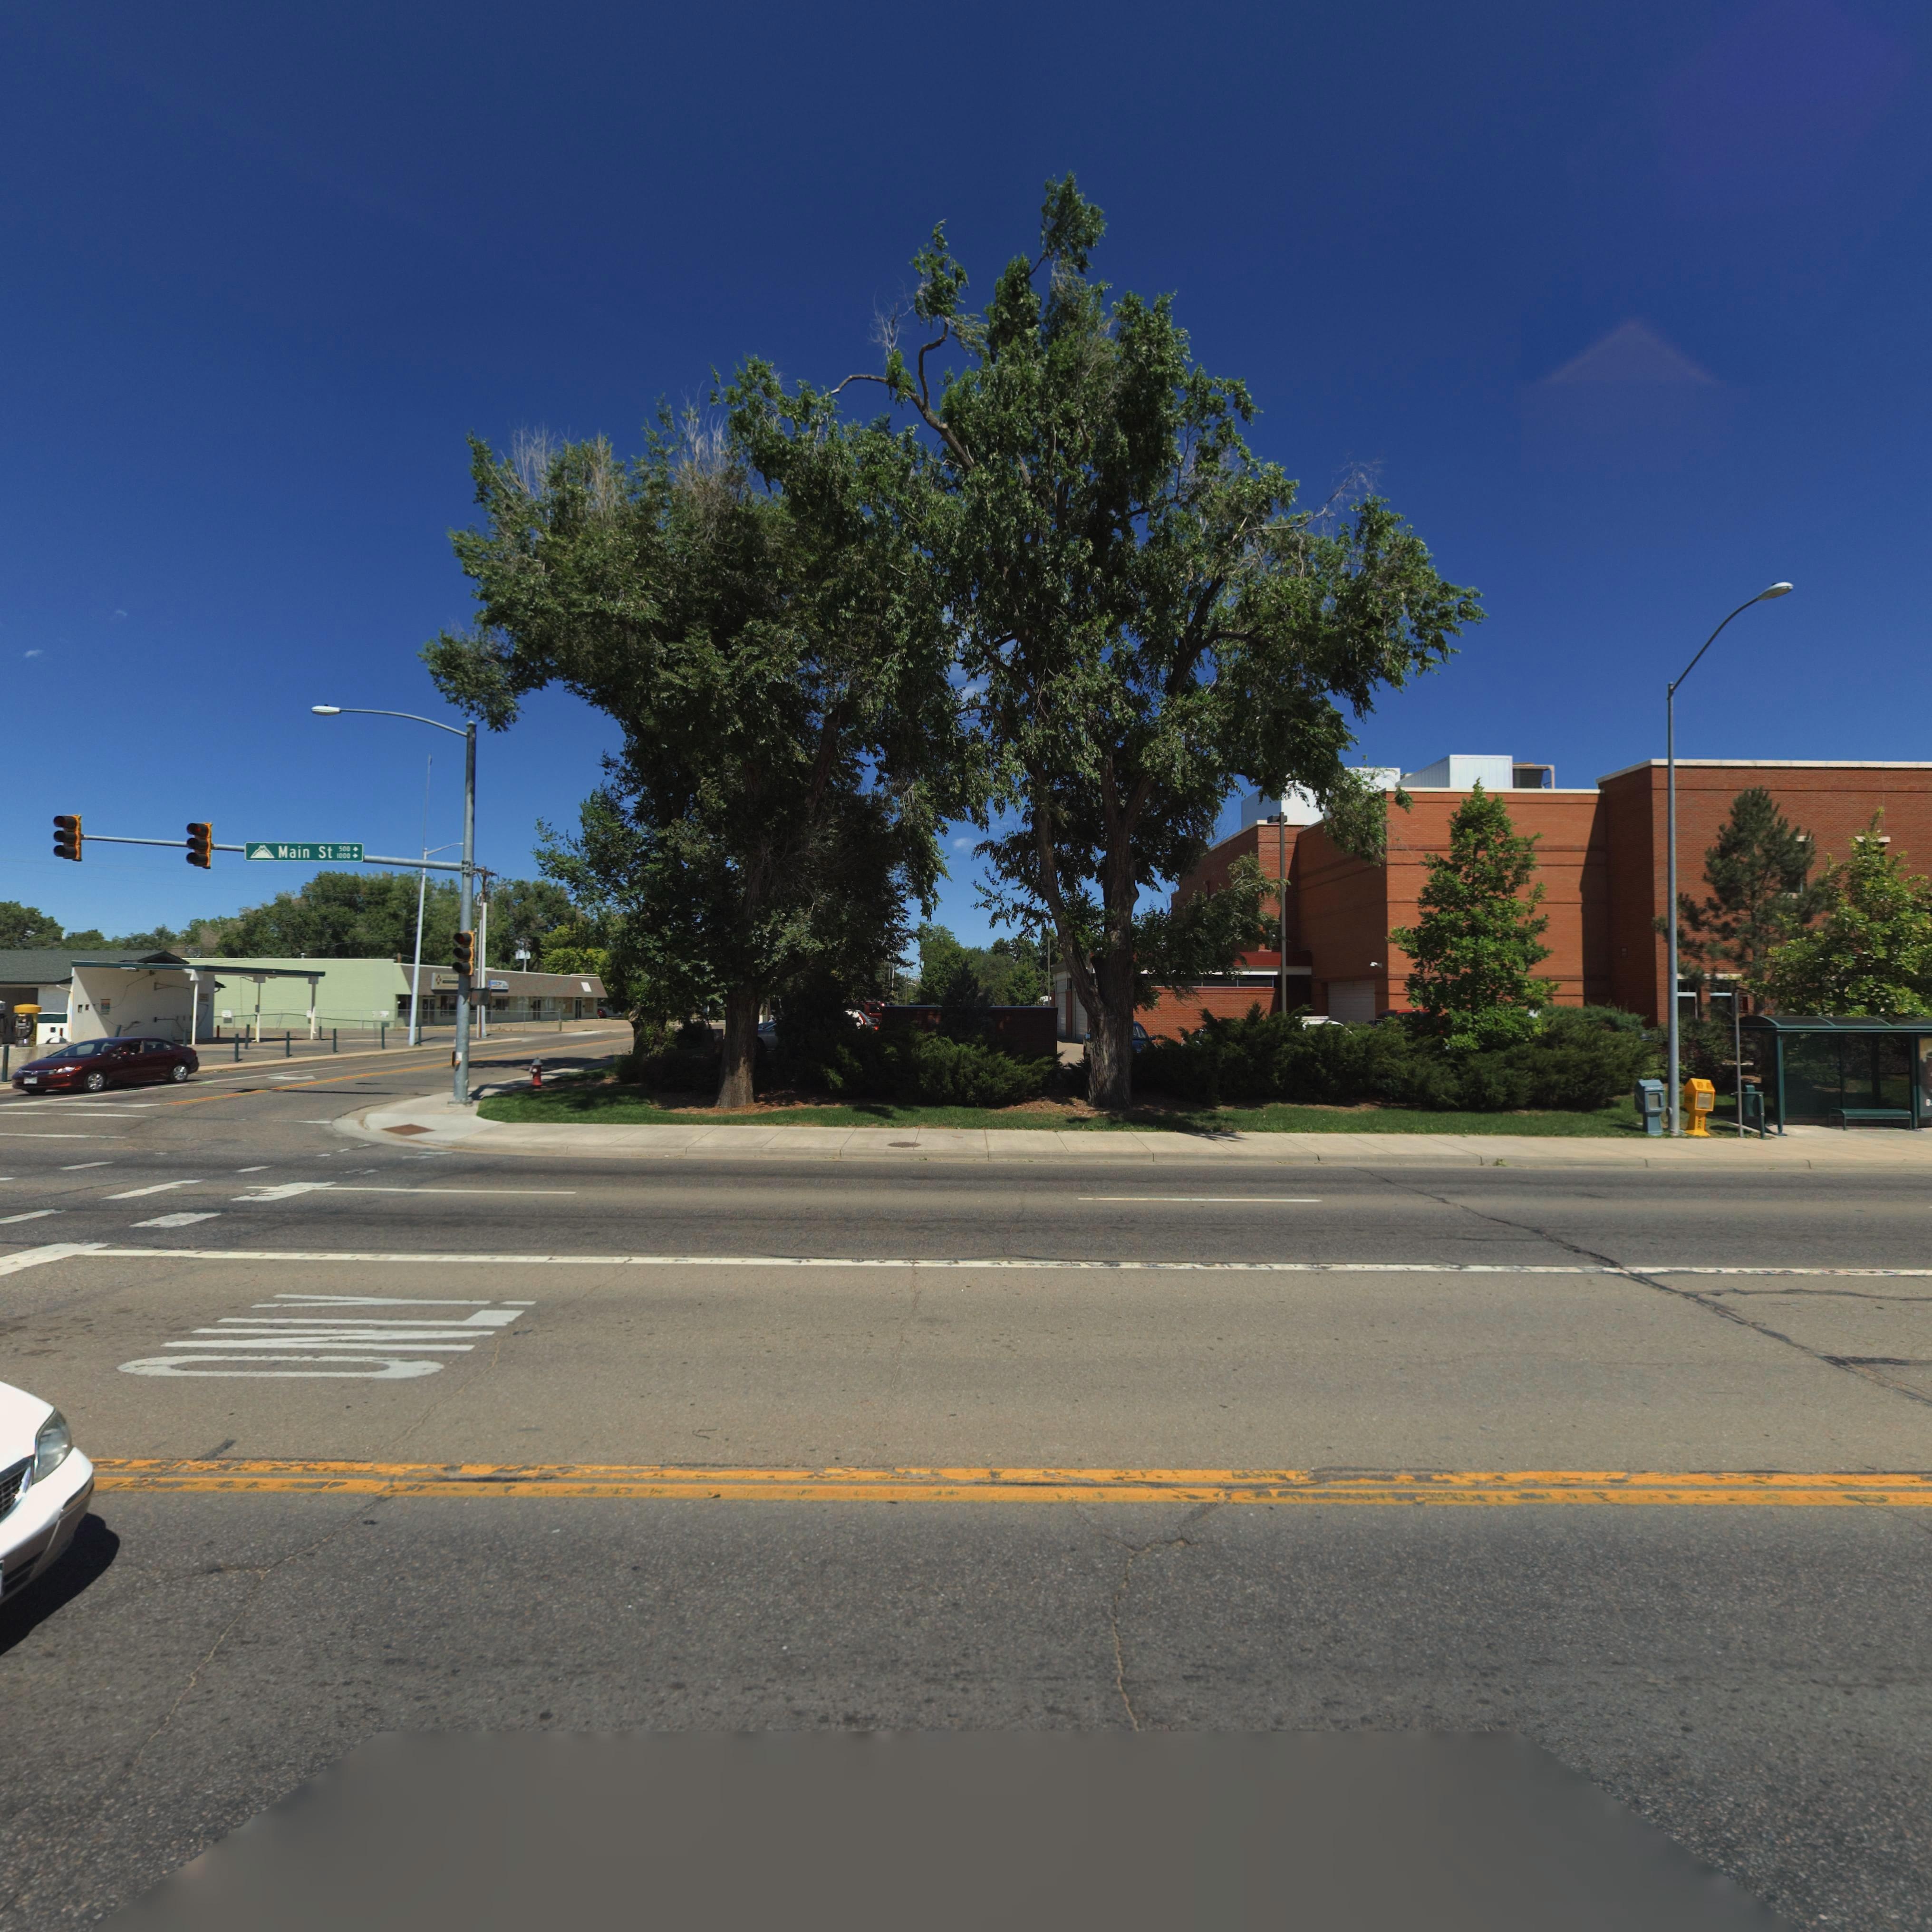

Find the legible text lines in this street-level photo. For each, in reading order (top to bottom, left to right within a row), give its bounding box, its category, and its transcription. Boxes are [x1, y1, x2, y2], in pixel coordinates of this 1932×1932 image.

[278, 845, 333, 858] StreetName: Main St
[338, 845, 350, 851] StreetNumberRange: 500
[336, 852, 358, 859] StreetNumberRange: 1000 ->